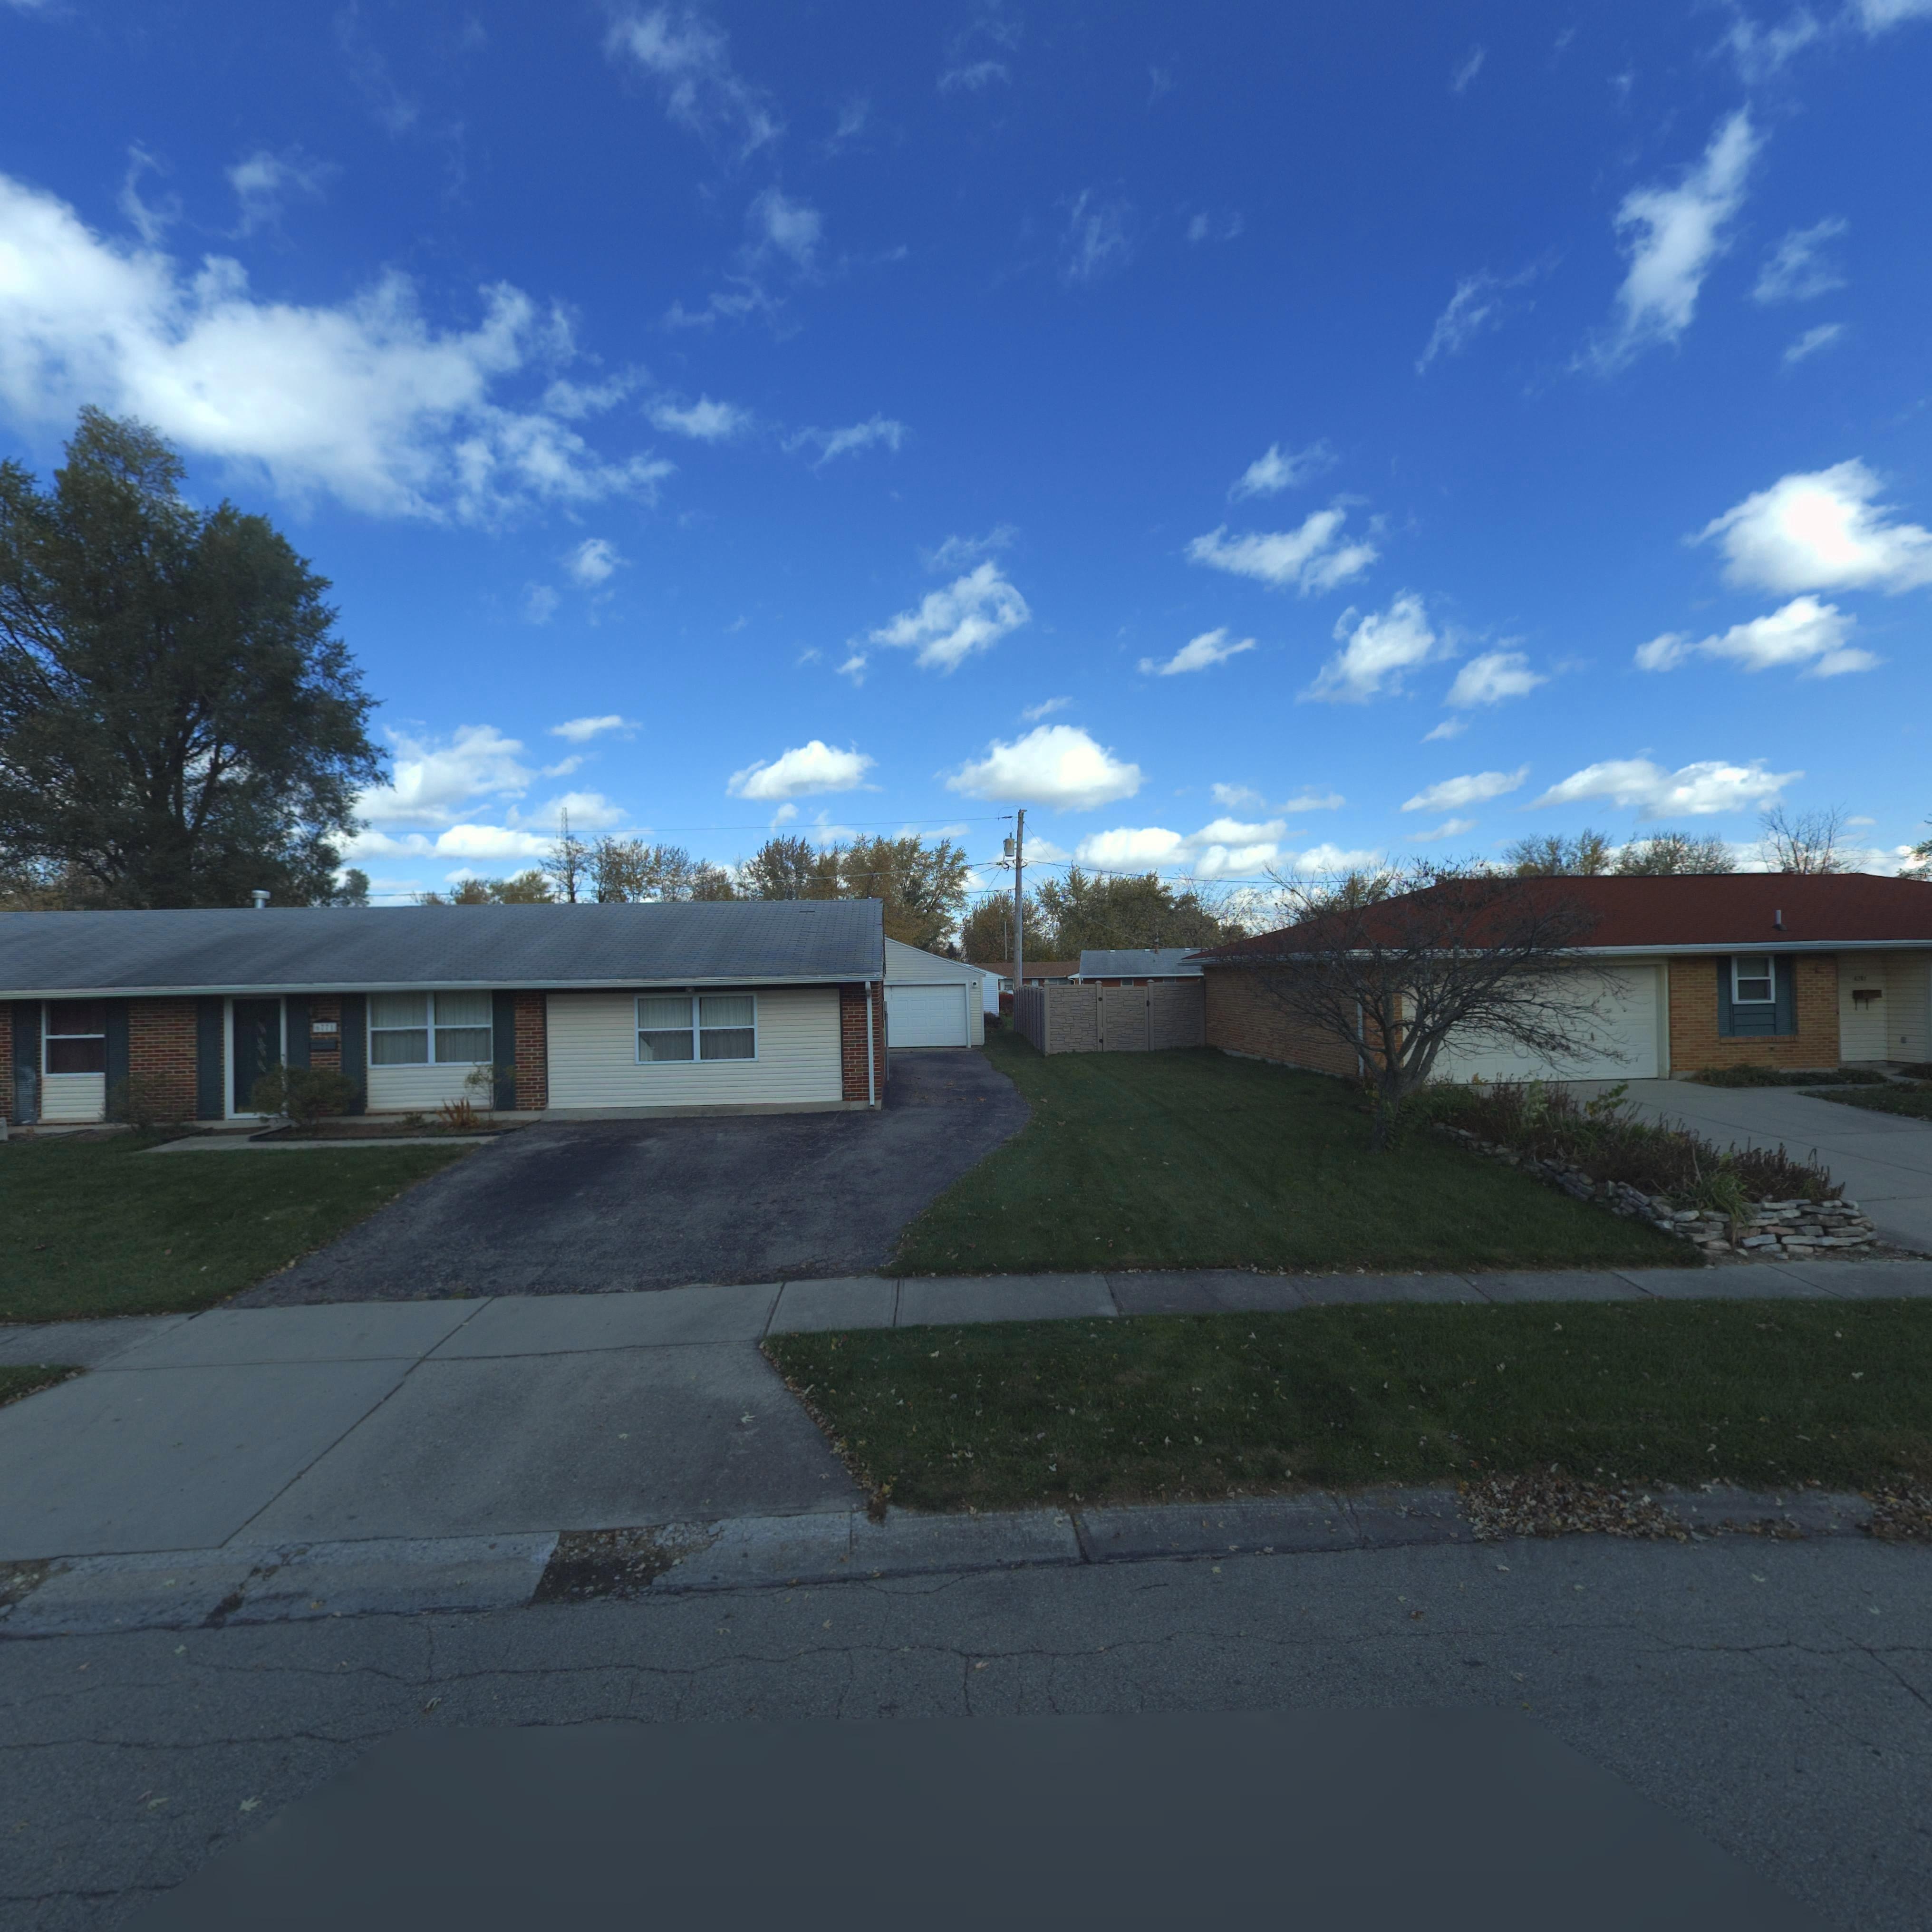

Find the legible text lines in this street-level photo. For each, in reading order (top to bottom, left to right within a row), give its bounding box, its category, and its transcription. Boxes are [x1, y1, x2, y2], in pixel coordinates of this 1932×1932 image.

[1853, 975, 1867, 982] StreetNumber: 678*
[314, 1023, 334, 1032] StreetNumber: 6771